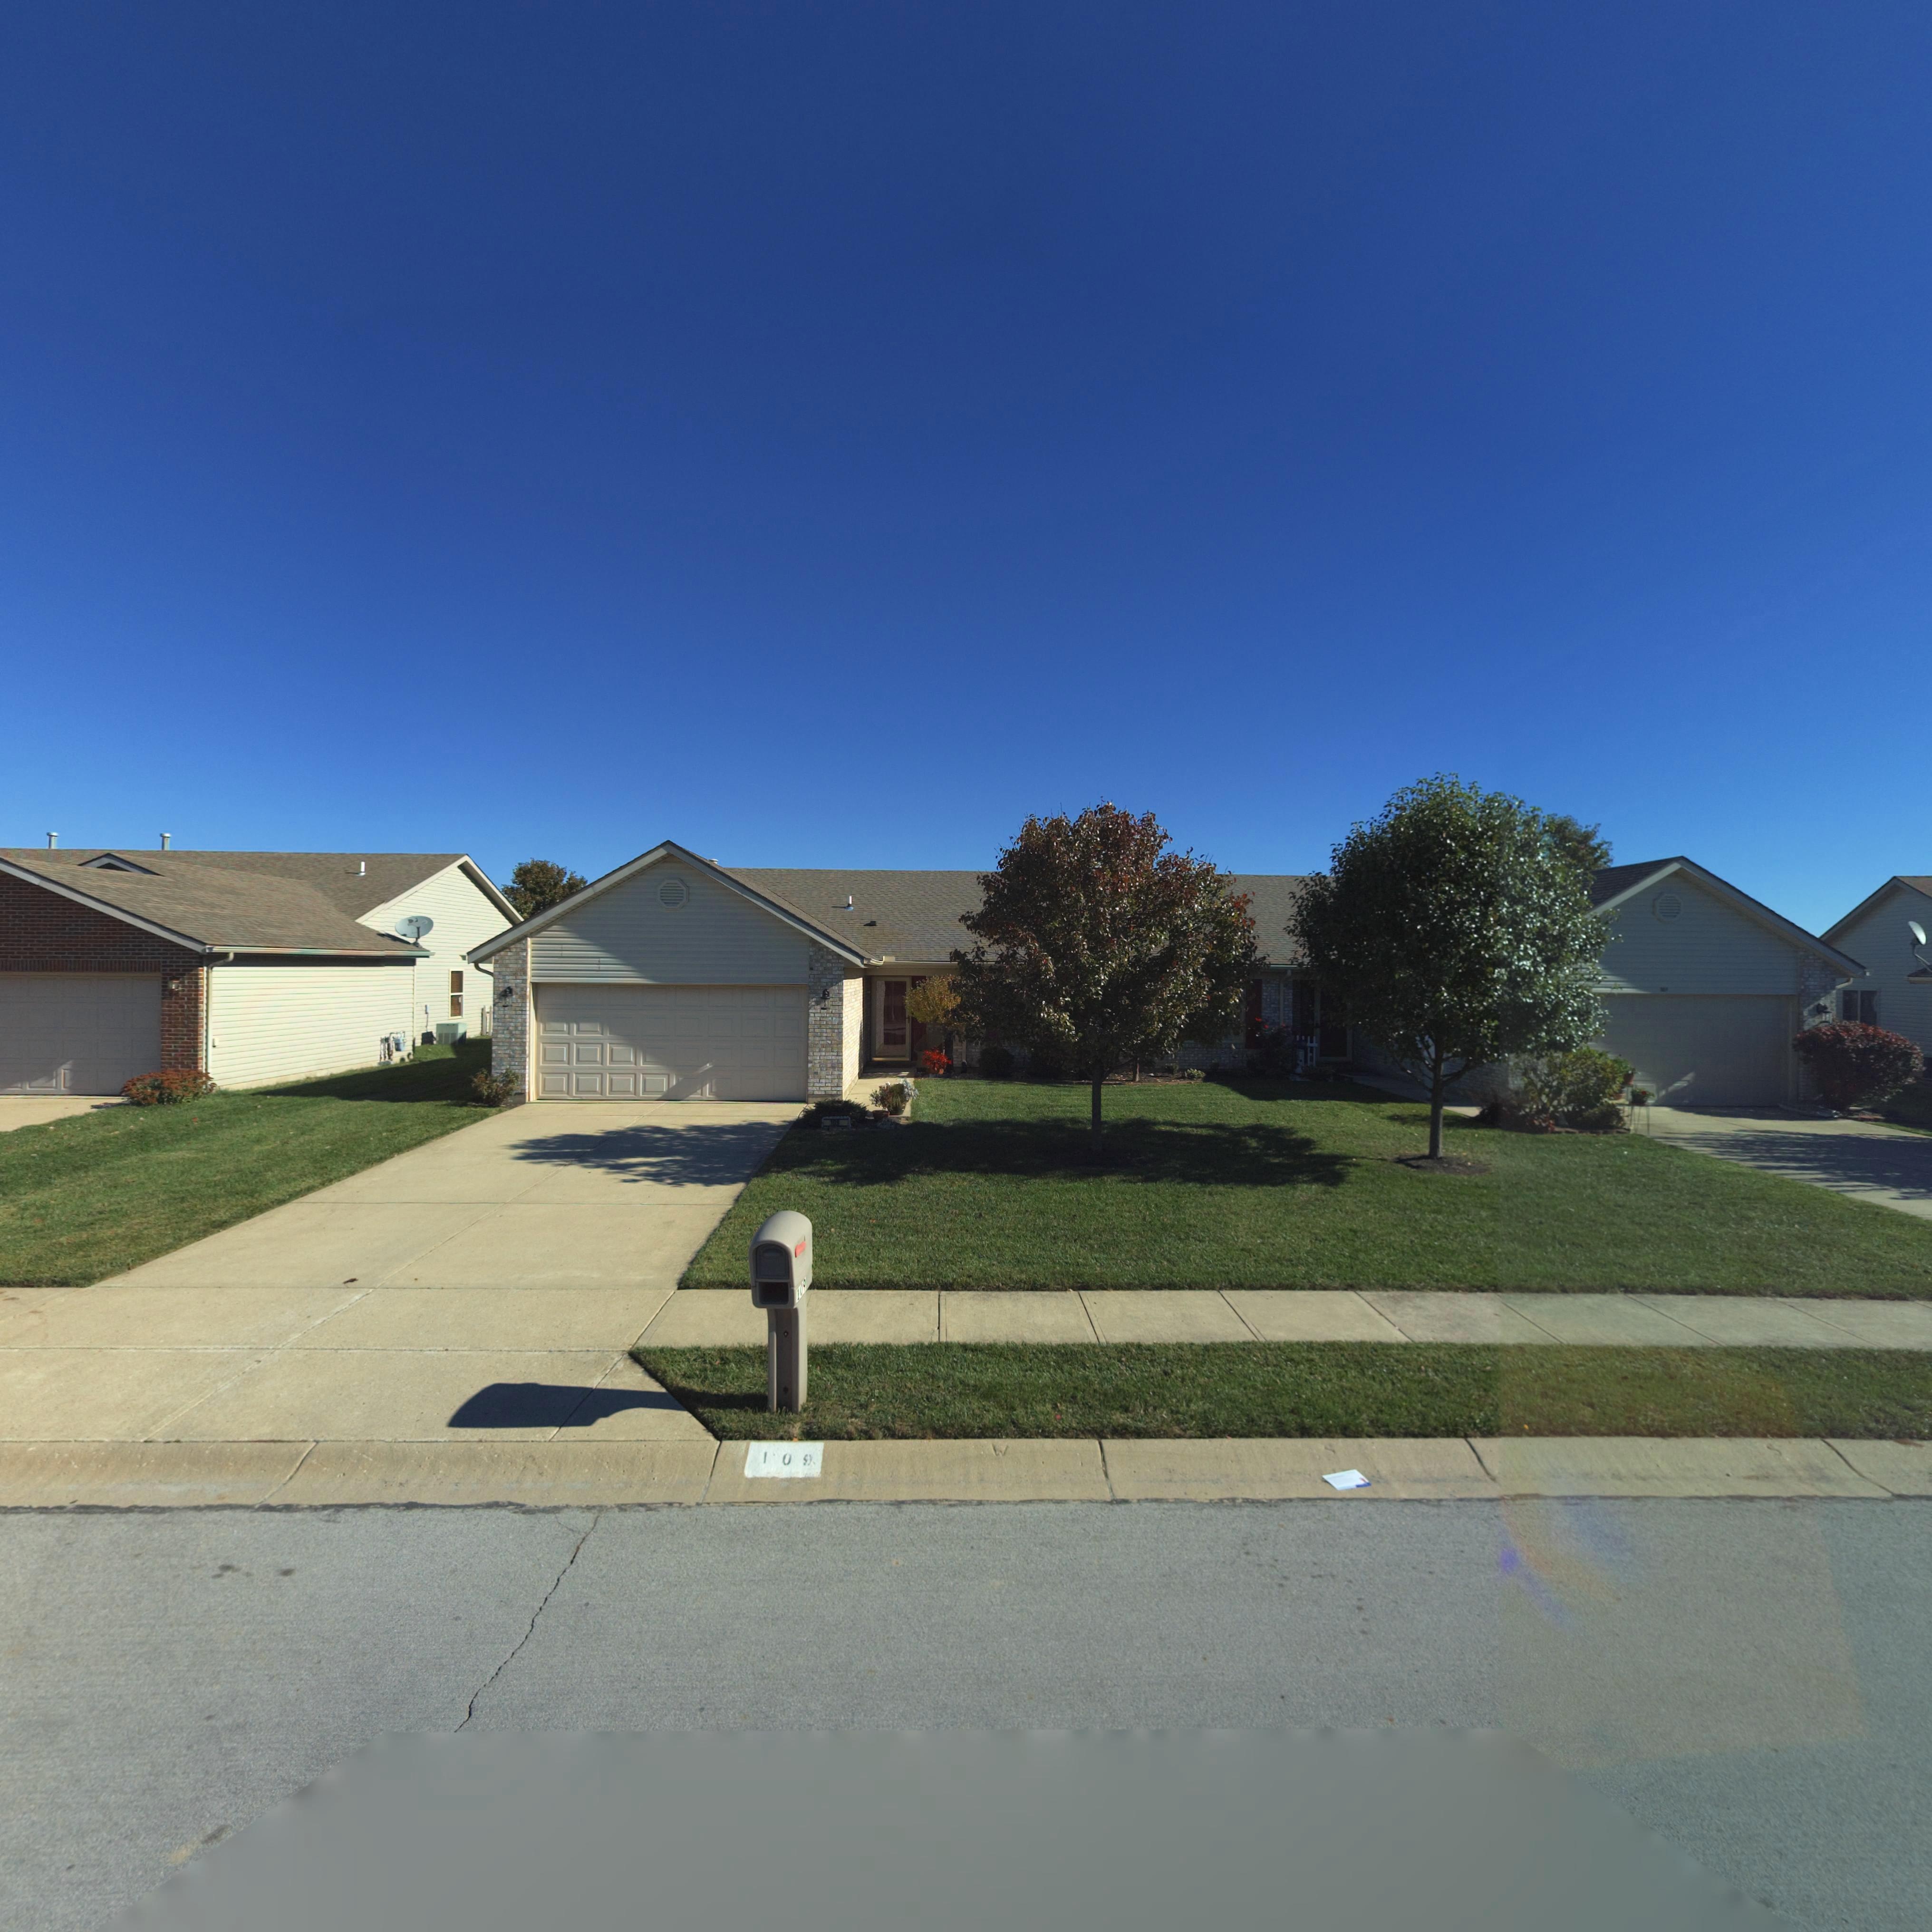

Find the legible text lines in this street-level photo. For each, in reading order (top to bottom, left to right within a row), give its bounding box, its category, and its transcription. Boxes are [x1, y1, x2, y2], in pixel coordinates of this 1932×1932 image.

[830, 1119, 840, 1127] StreetNumber: 109
[796, 1276, 806, 1302] StreetNumber: 109
[761, 1450, 814, 1468] StreetNumber: 109